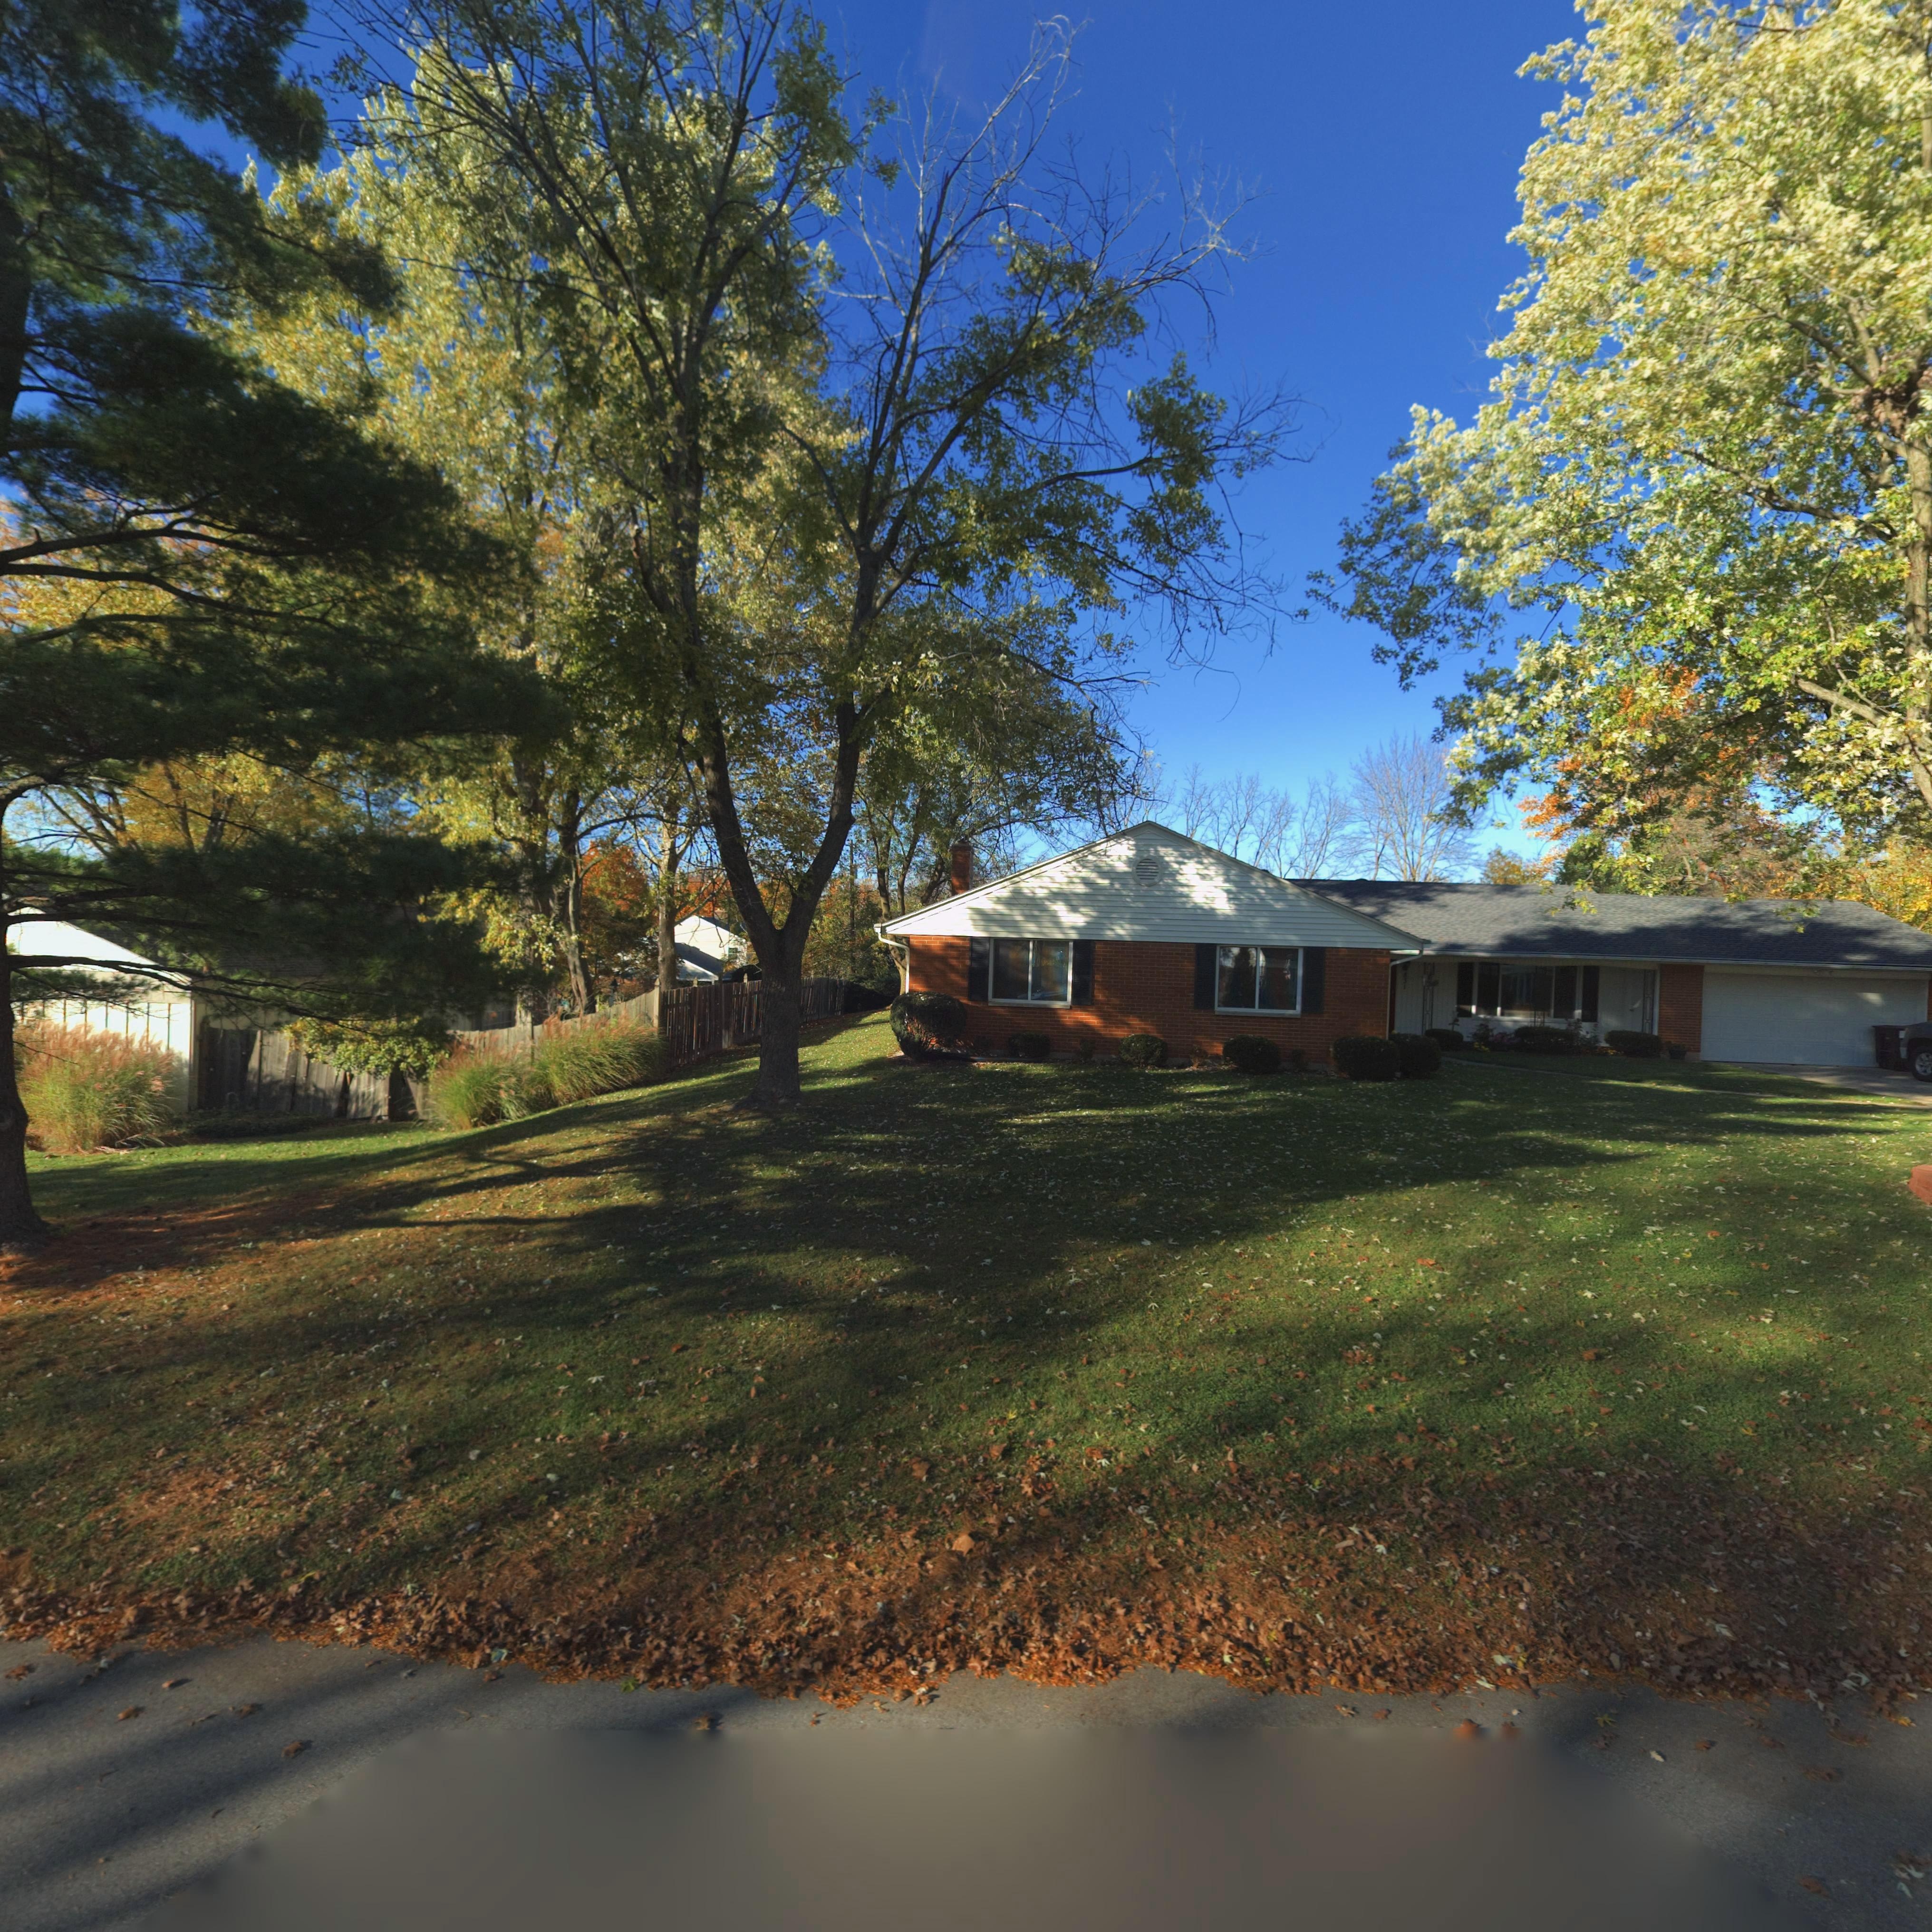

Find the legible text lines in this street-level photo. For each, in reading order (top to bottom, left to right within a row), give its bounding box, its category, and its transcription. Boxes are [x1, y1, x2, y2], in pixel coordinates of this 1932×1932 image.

[1402, 972, 1407, 991] StreetNumber: 831